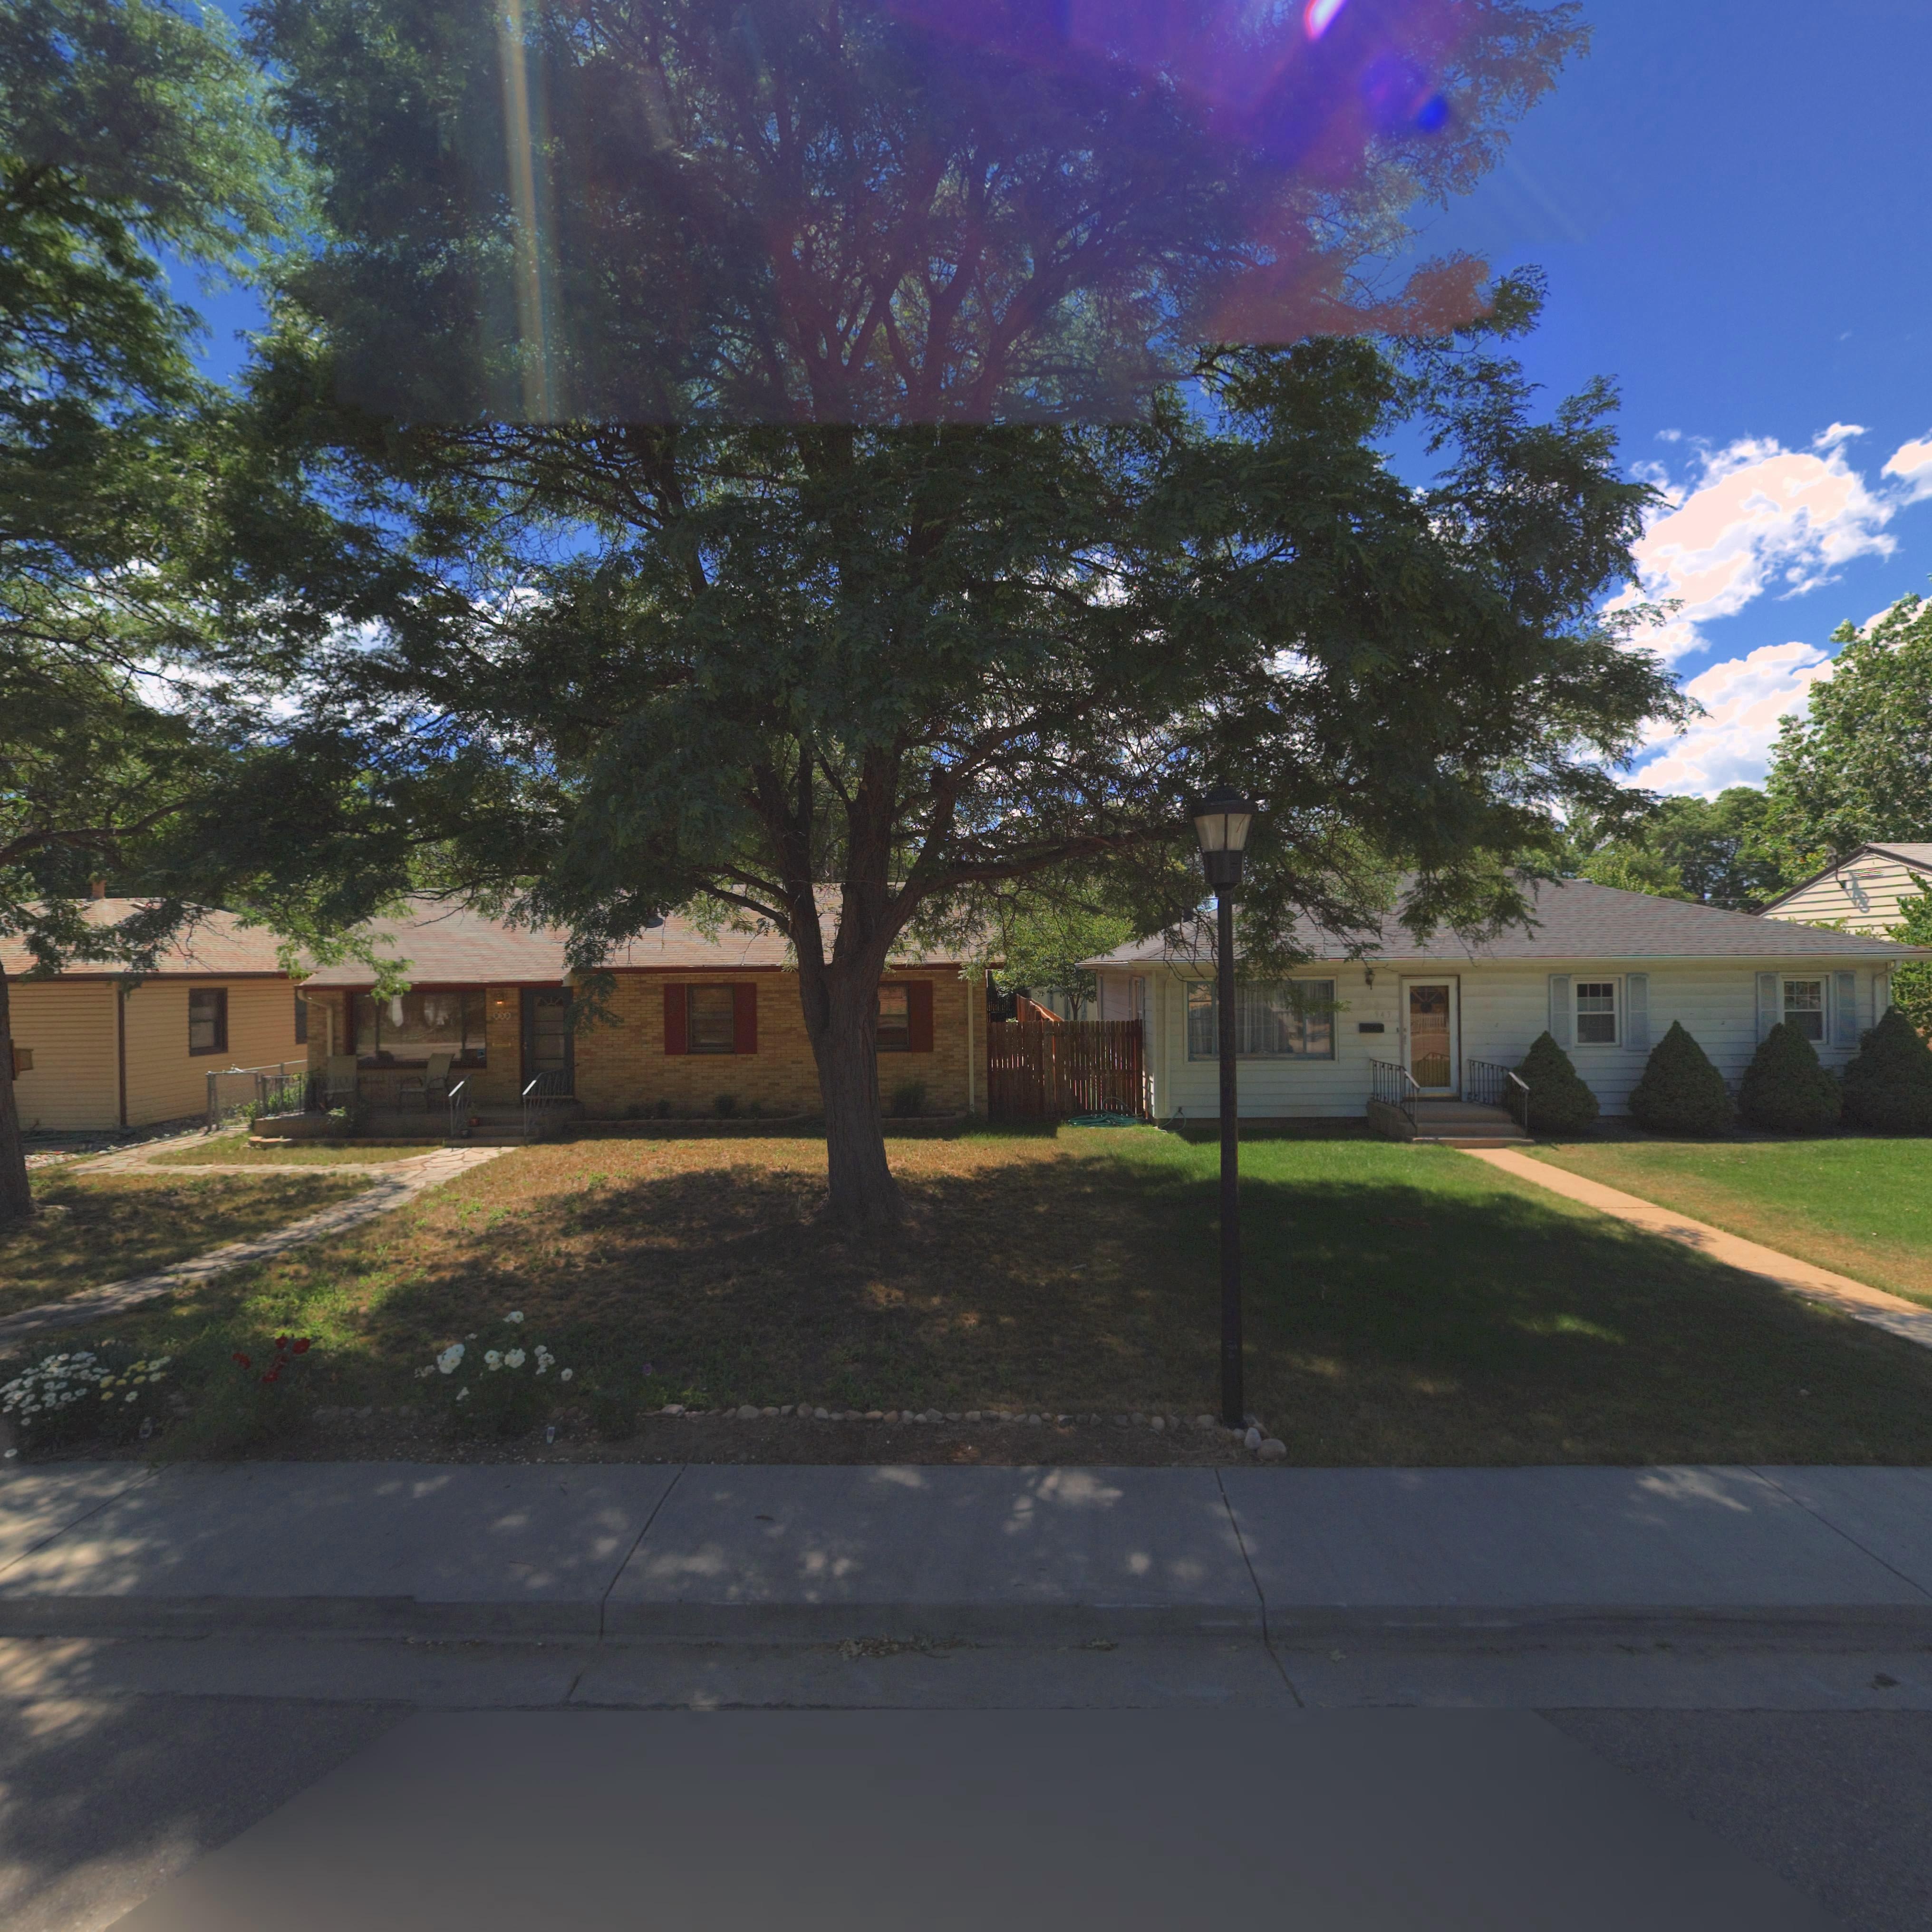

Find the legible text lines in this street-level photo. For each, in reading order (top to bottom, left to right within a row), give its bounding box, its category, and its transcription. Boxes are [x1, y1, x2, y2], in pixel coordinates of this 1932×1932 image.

[494, 1013, 509, 1018] StreetNumber: 93*
[1375, 1010, 1391, 1018] StreetNumber: 943